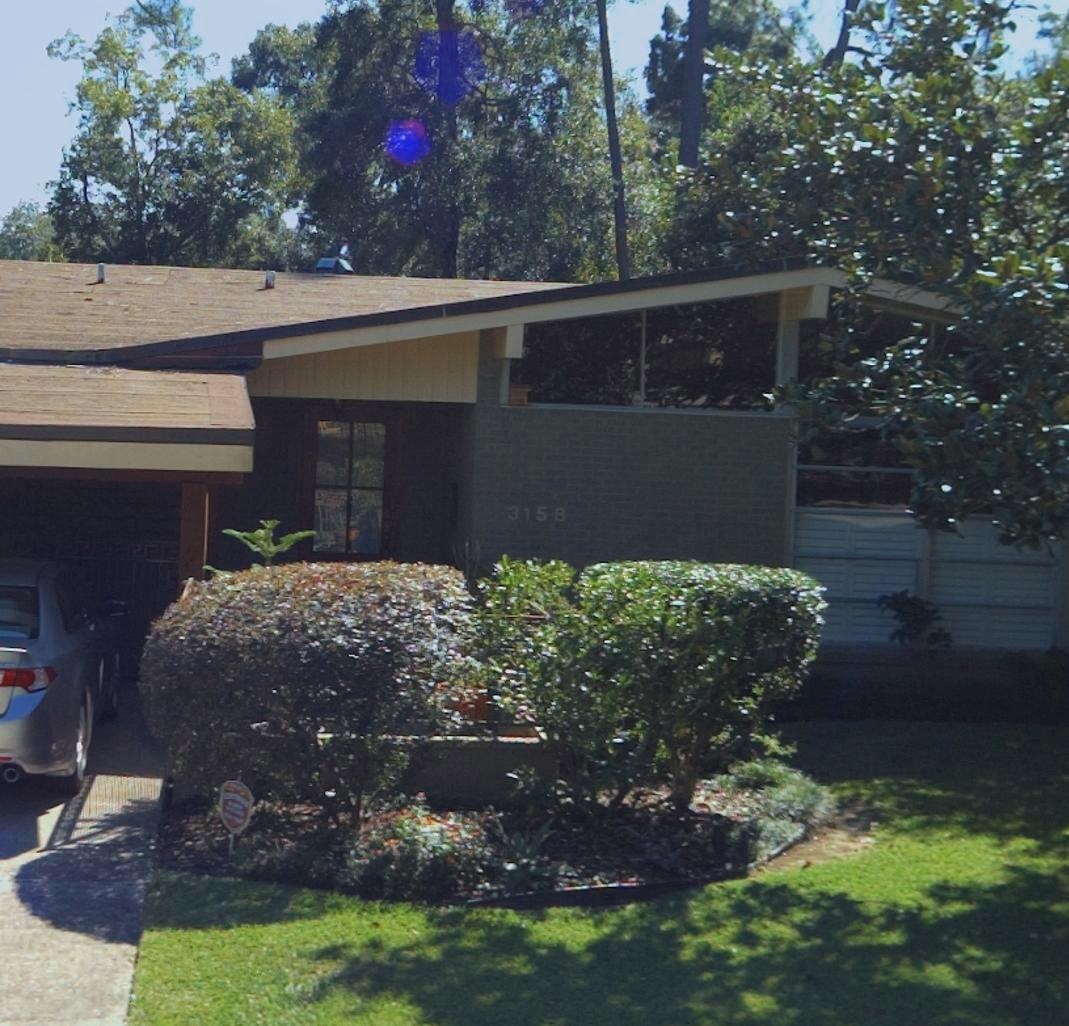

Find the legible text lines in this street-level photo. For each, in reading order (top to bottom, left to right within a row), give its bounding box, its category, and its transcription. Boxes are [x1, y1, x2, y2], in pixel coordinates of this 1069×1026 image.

[506, 505, 568, 523] StreetNumber: 3158